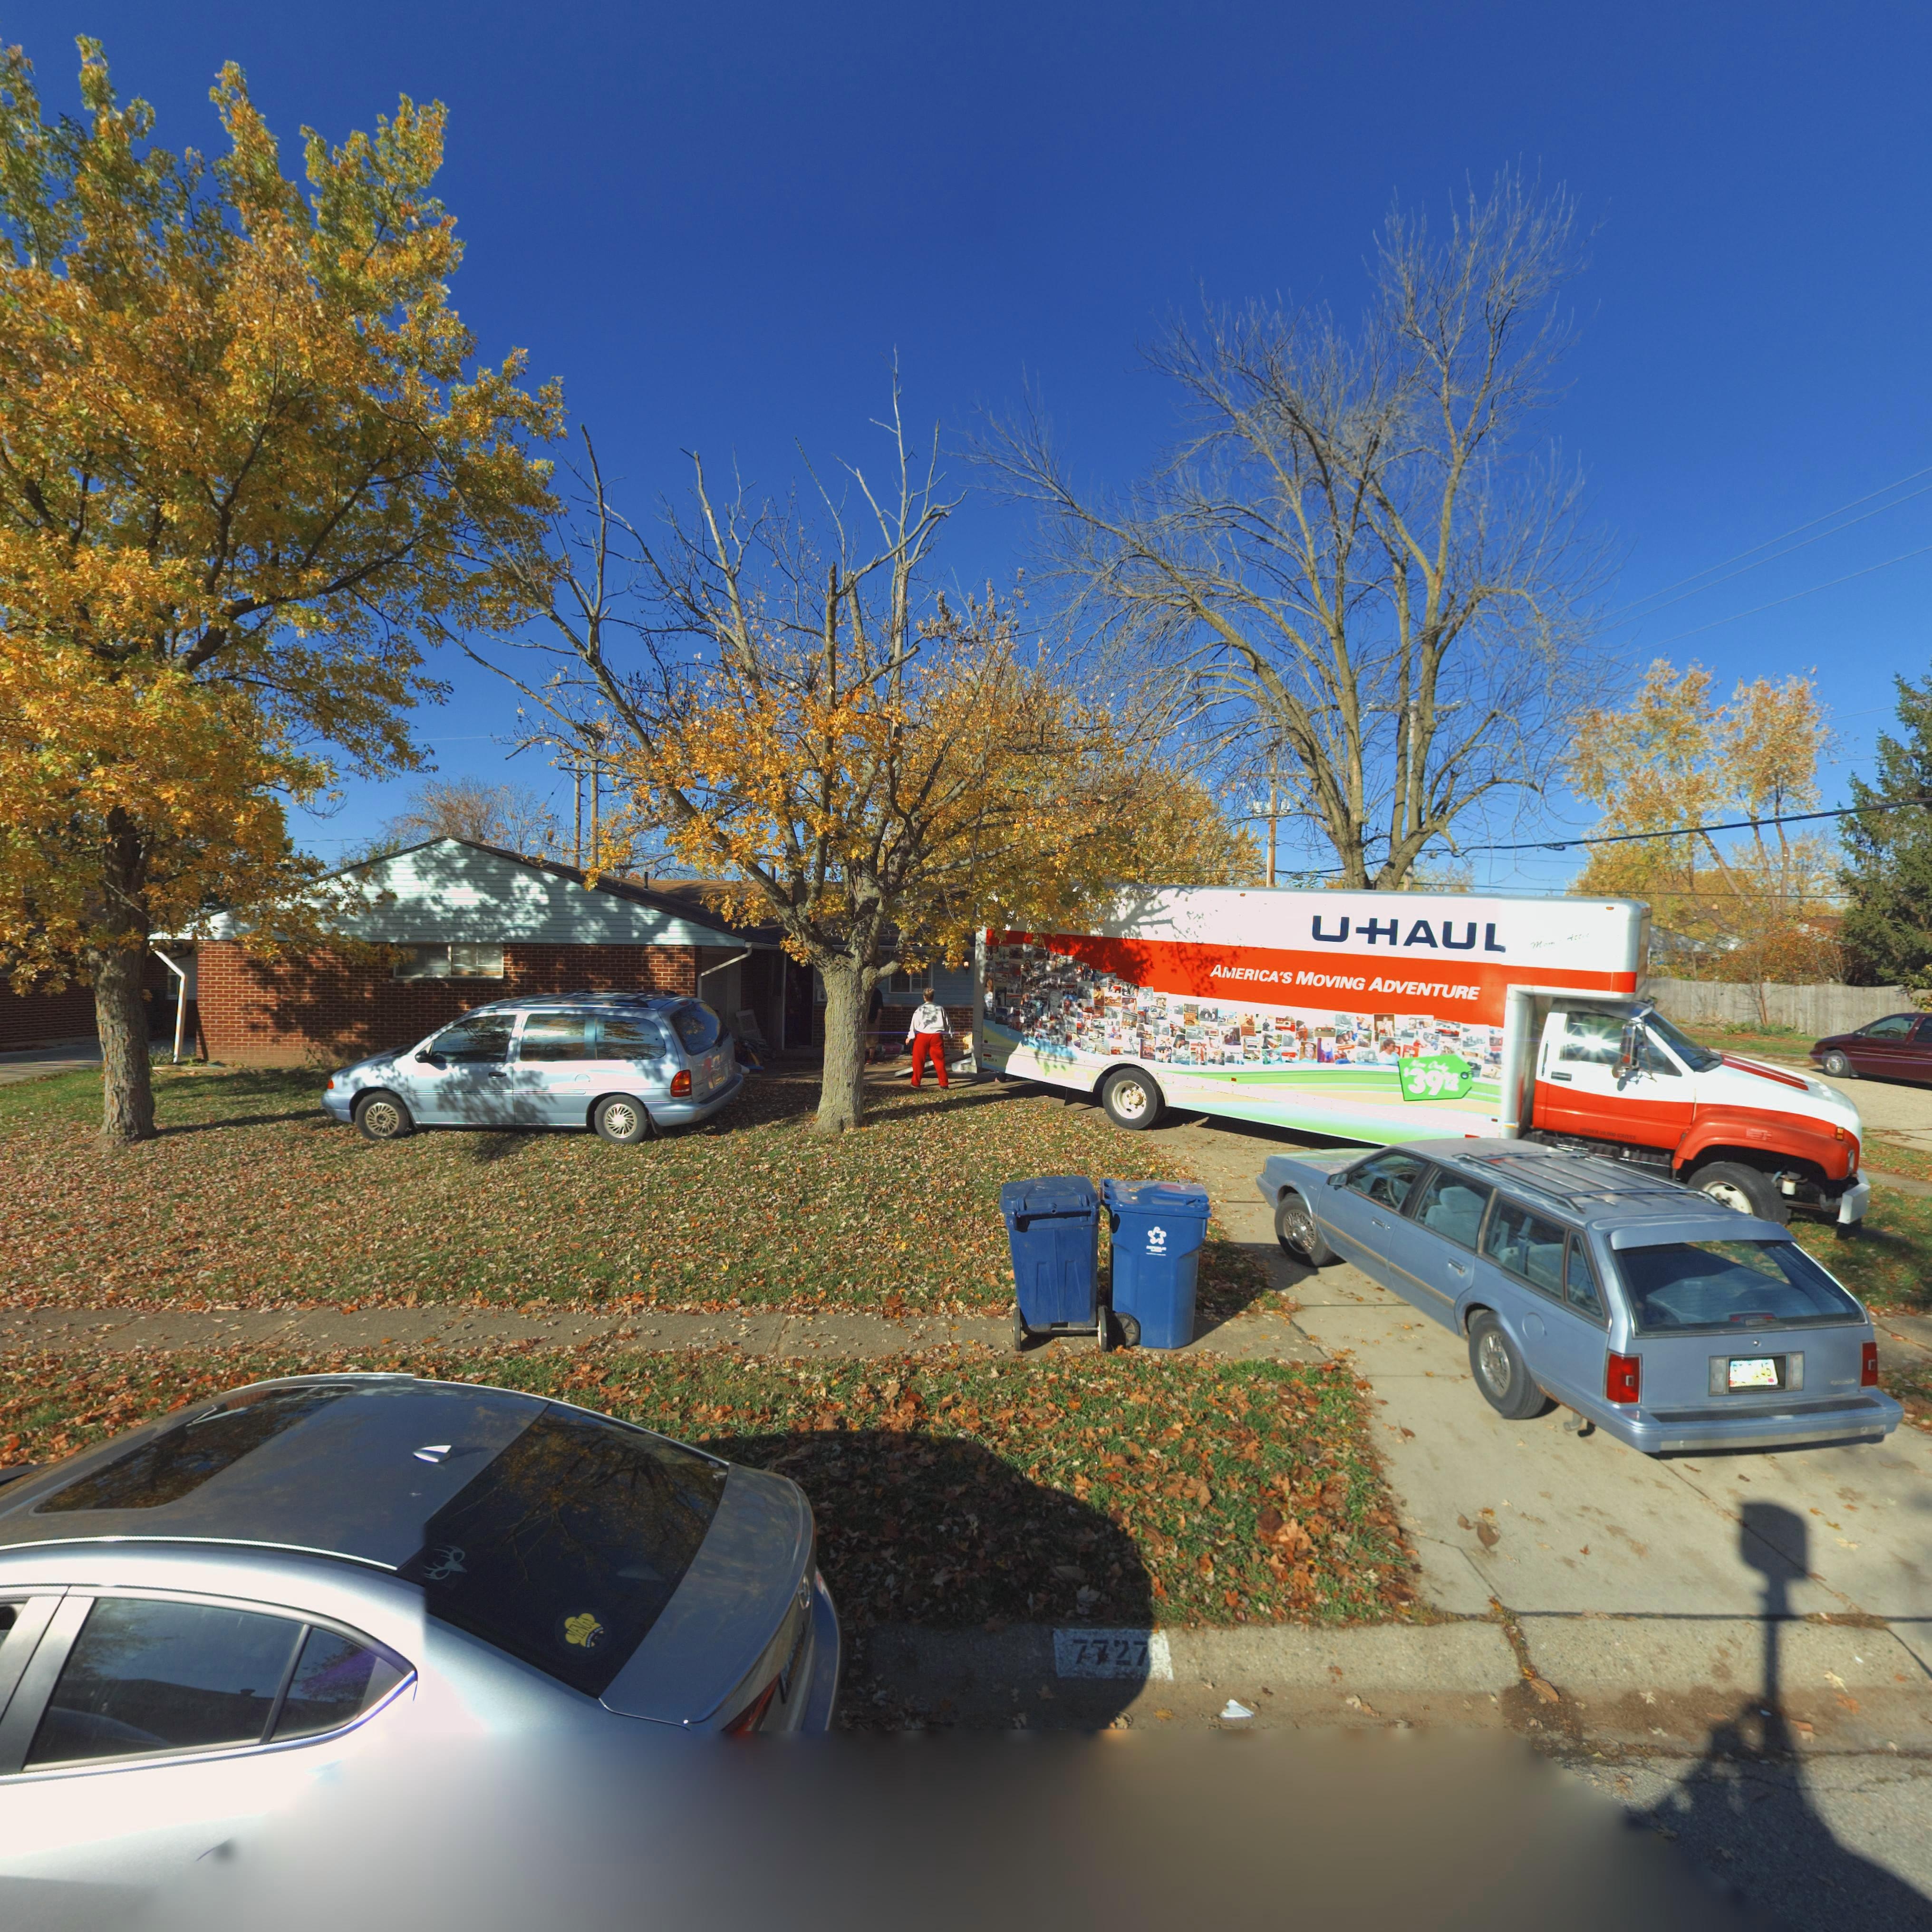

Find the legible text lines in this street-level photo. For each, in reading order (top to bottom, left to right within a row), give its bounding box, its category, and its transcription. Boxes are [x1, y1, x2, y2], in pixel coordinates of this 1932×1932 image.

[1070, 1637, 1150, 1668] StreetNumber: 7727